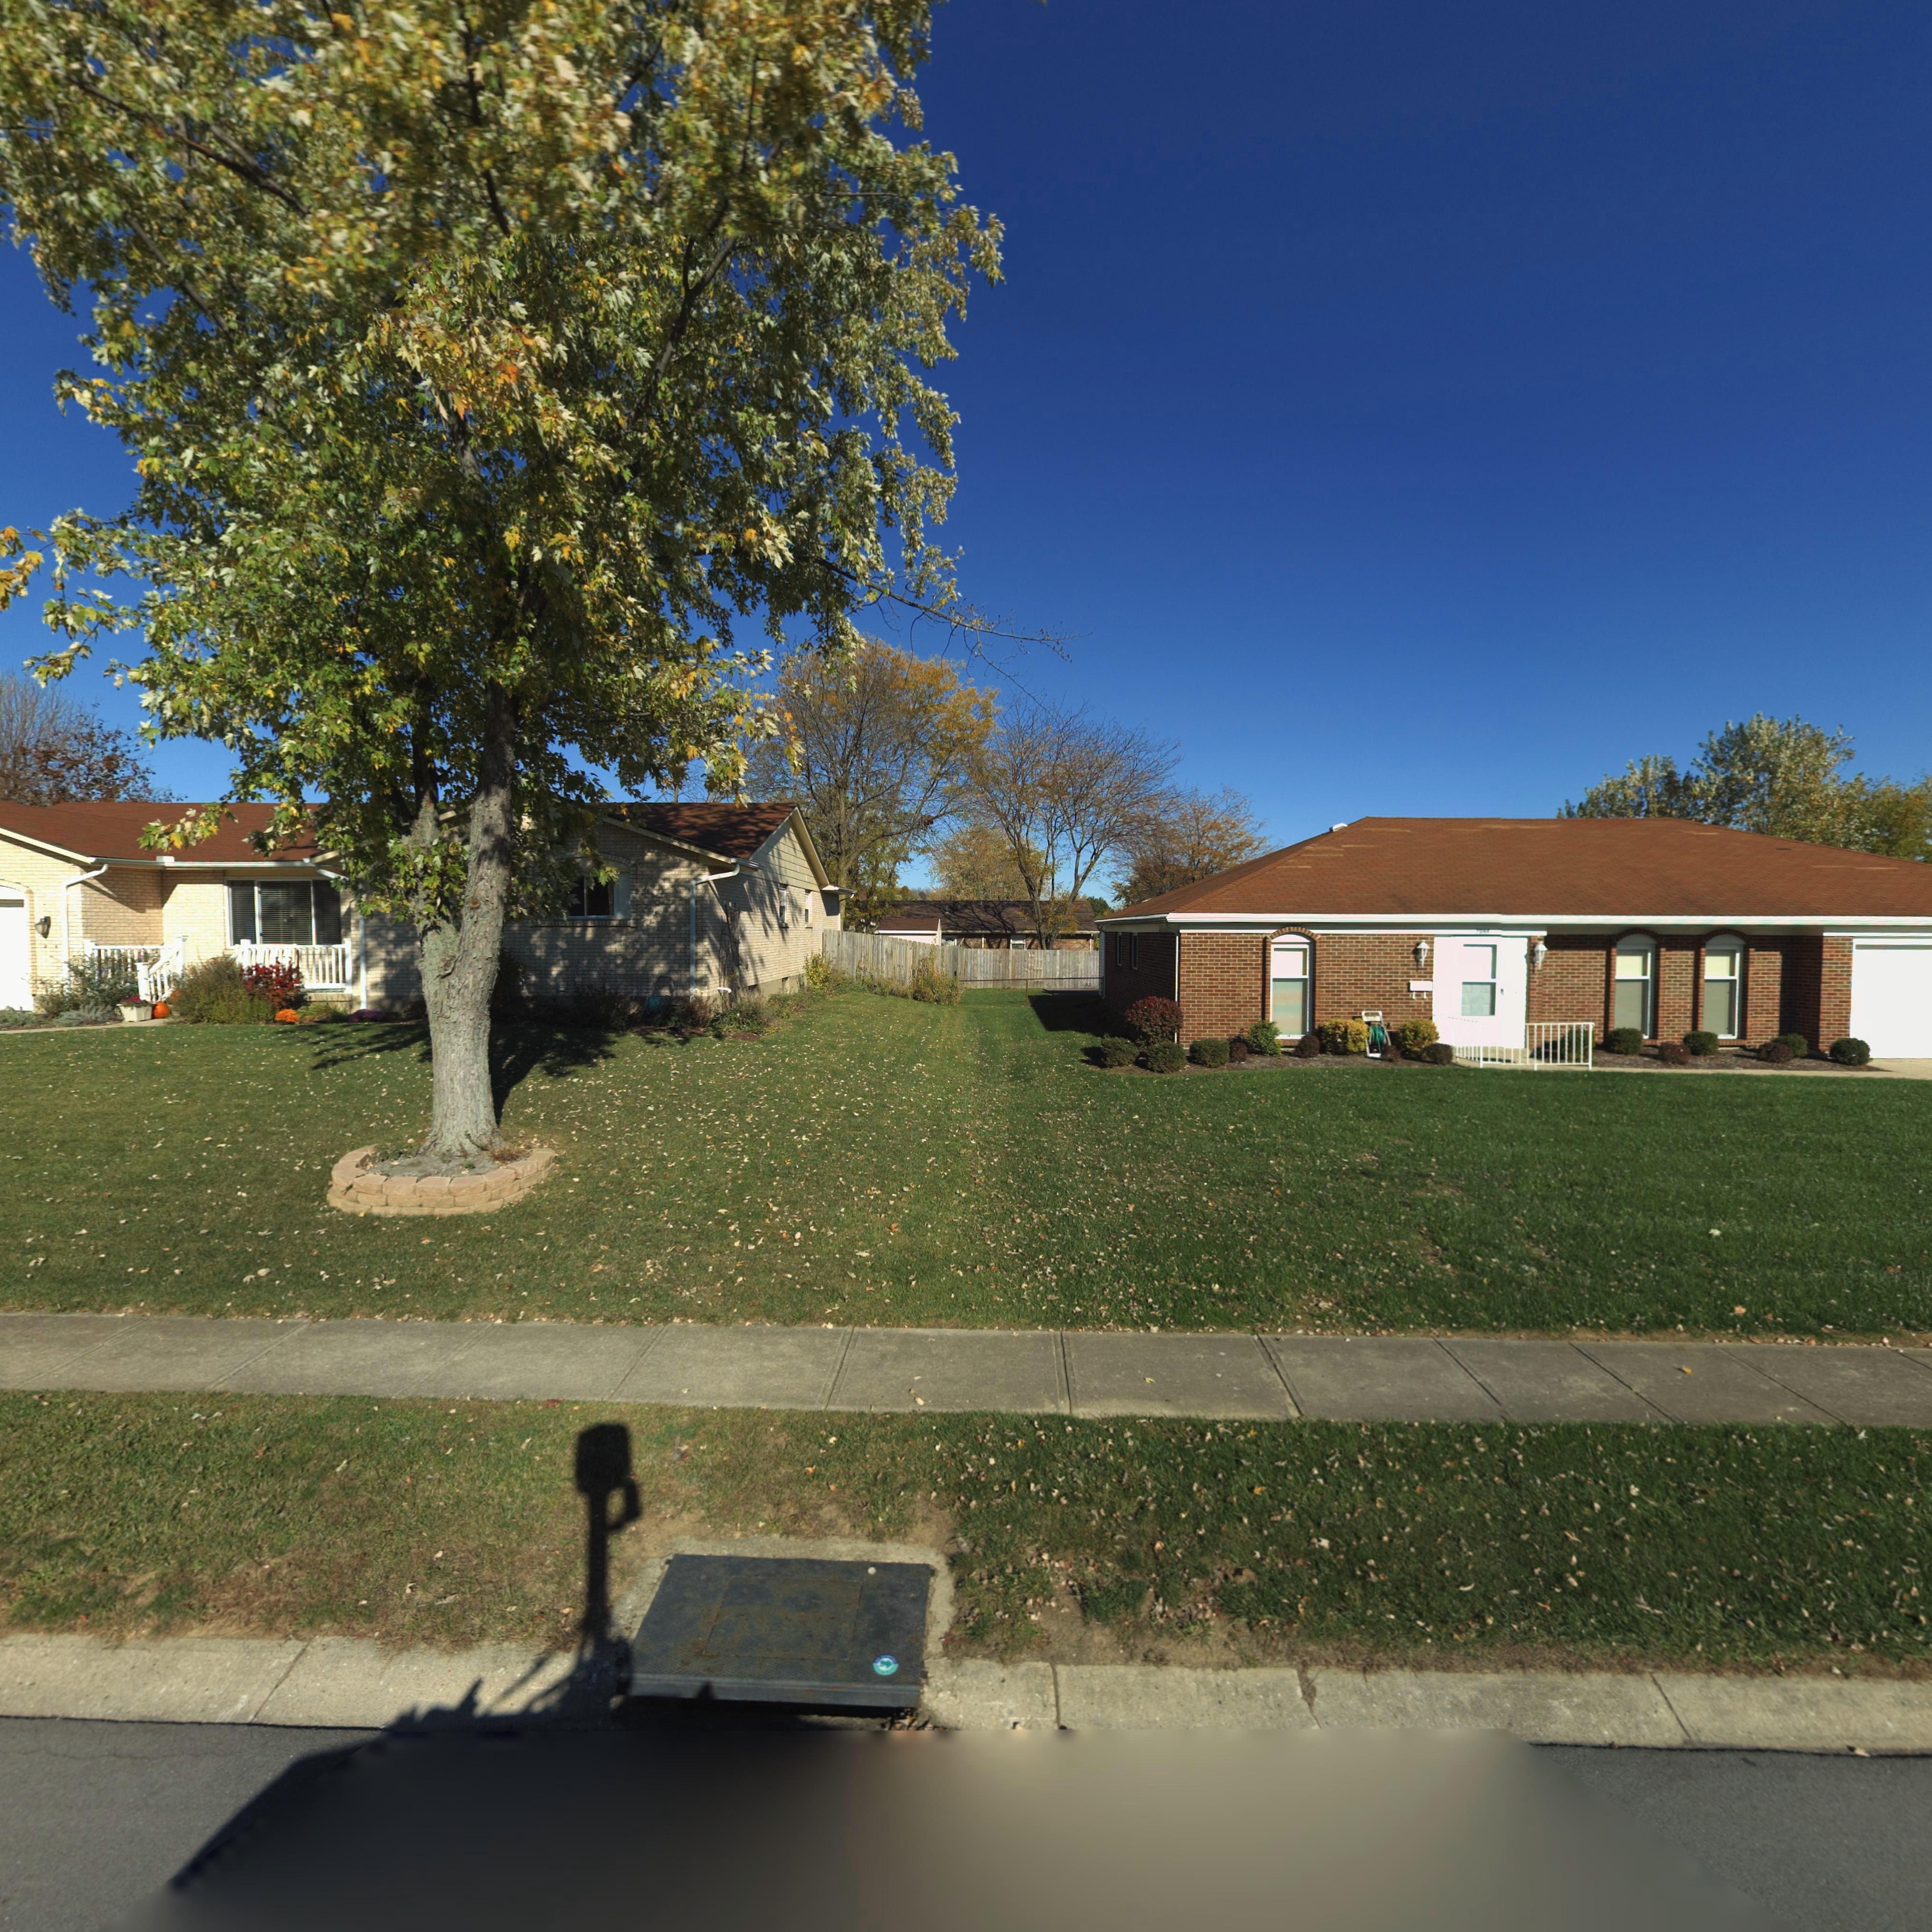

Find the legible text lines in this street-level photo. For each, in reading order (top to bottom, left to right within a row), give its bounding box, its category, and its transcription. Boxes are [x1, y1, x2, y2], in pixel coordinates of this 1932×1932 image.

[1475, 928, 1490, 933] StreetNumber: 7044